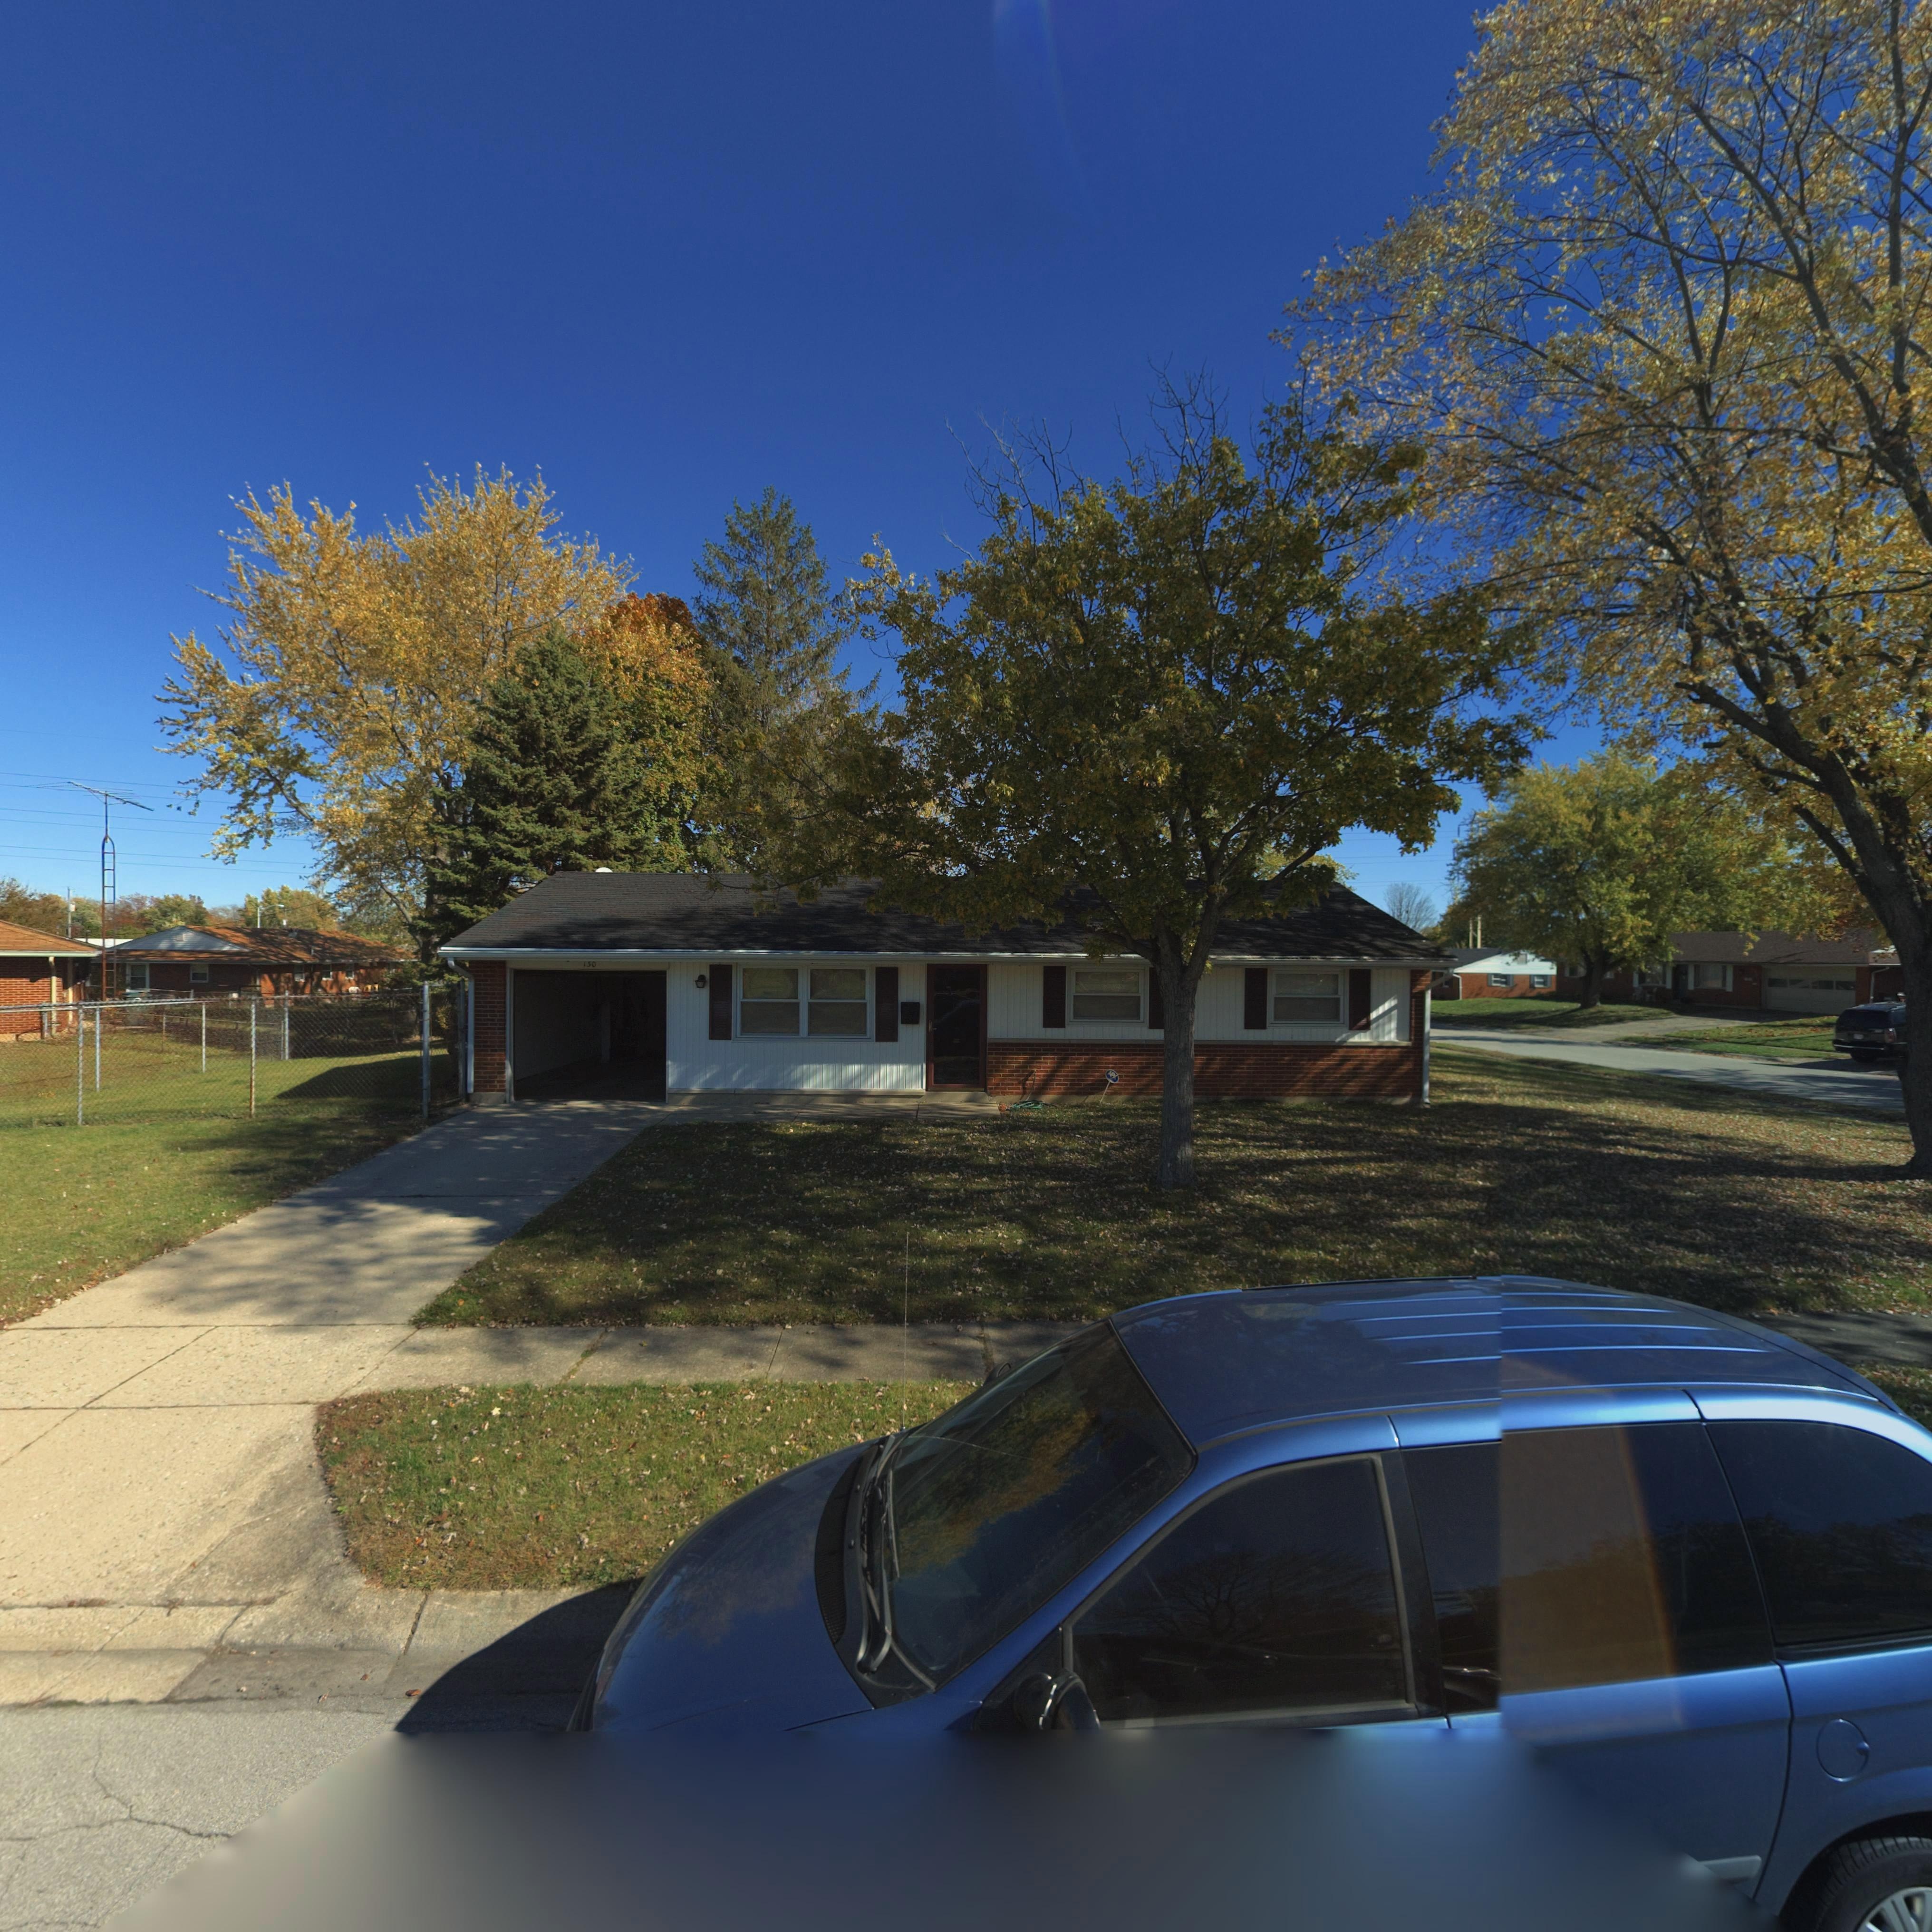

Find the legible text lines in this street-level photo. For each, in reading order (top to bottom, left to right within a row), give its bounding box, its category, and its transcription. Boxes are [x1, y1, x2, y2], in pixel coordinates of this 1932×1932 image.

[582, 960, 598, 968] StreetNumber: 130